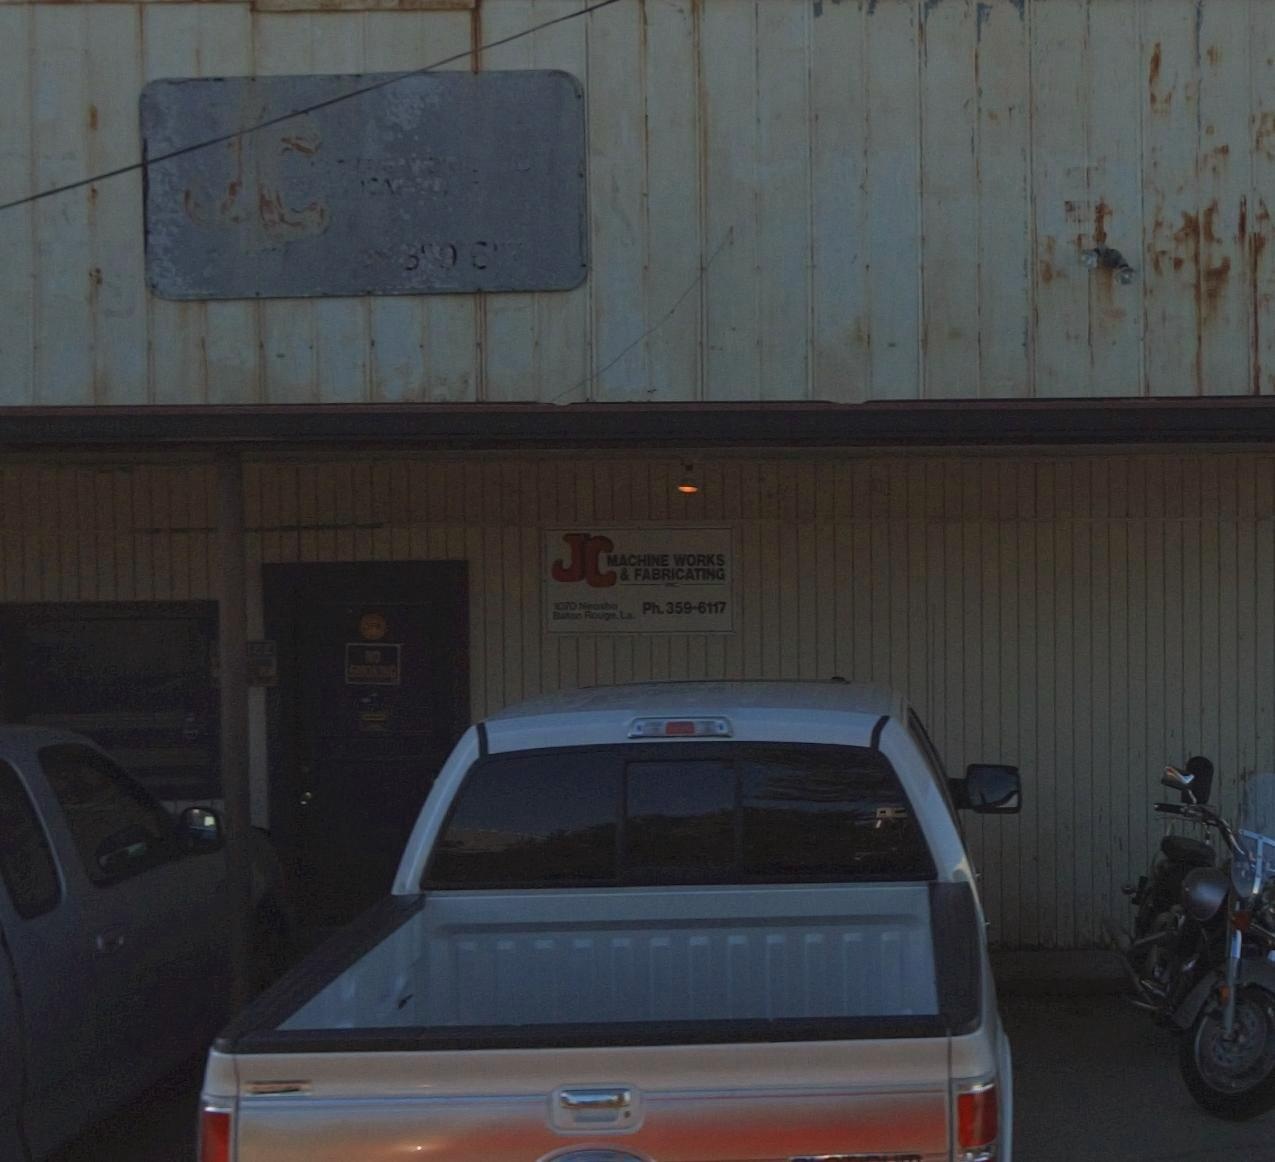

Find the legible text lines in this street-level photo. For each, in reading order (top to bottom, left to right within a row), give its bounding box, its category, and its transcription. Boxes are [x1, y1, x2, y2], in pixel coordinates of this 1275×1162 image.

[544, 523, 622, 593] None: JC
[603, 551, 728, 569] BusinessName: MACHINE WORKS
[631, 566, 728, 584] BusinessName: FABRICATING
[550, 599, 579, 613] StreetNumber: 1070
[583, 609, 638, 623] None: Rouge. La.
[640, 598, 730, 617] None: Ph. 359-6117
[362, 646, 385, 666] None: NO